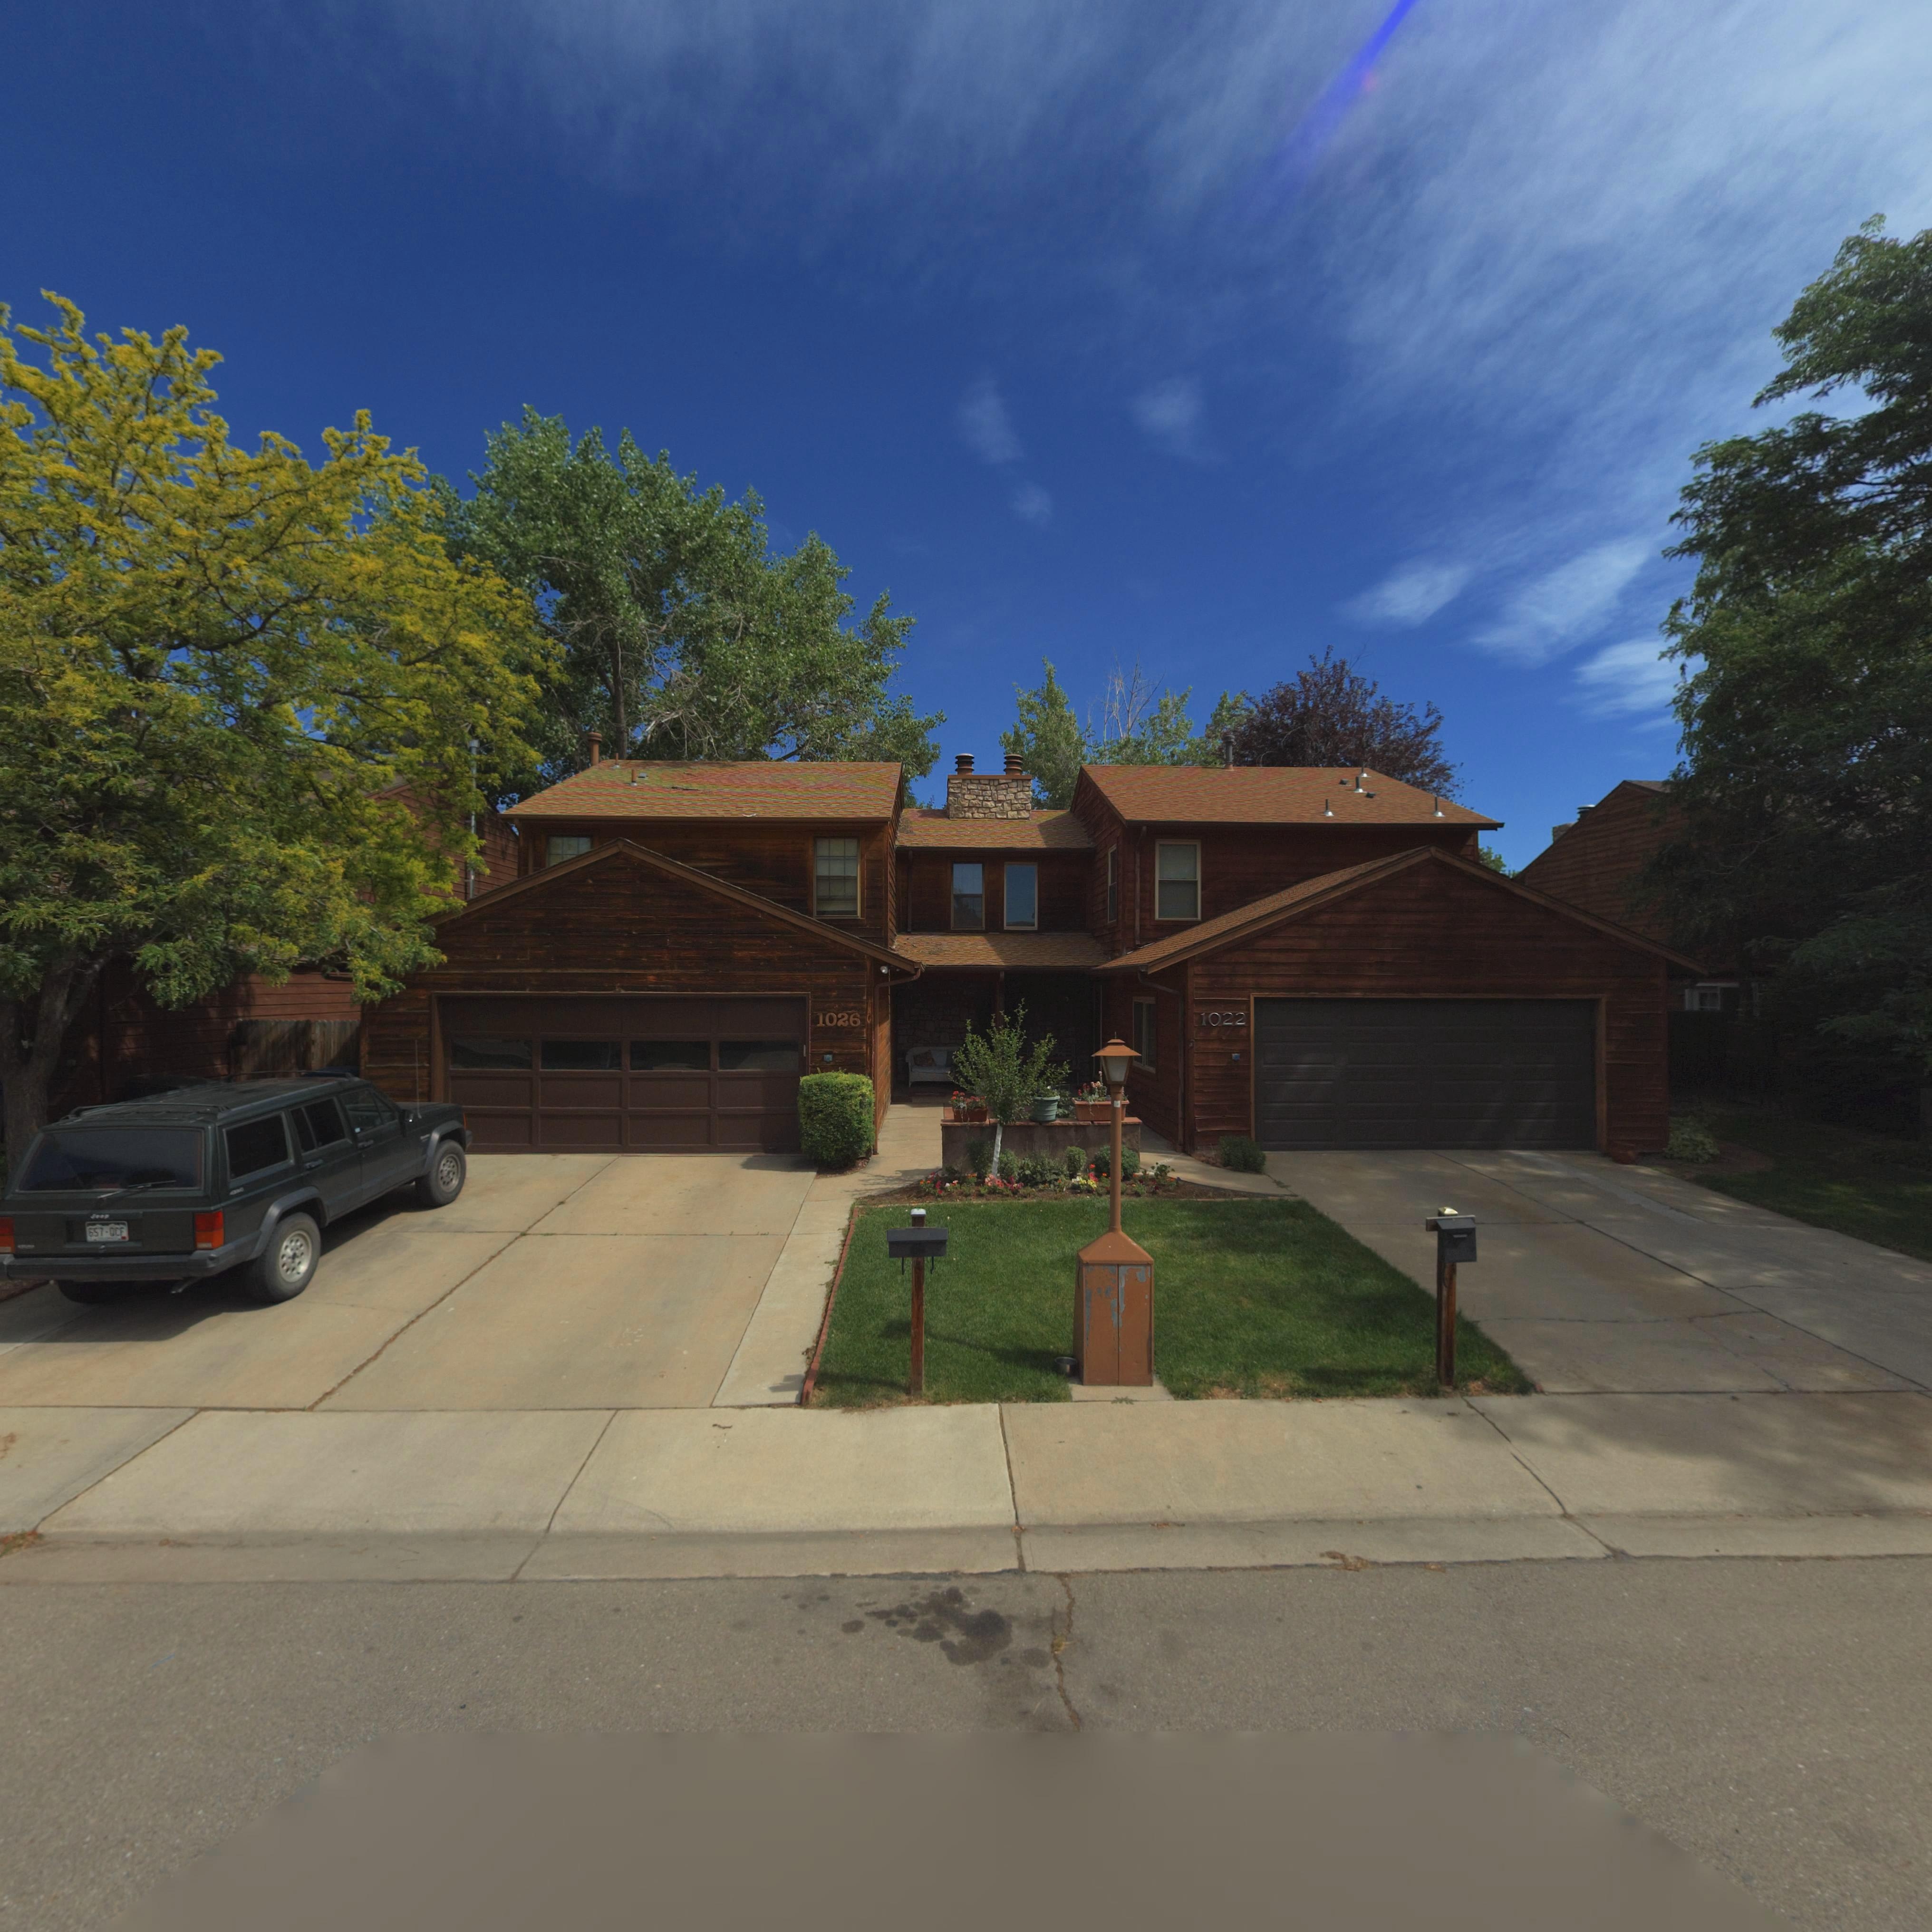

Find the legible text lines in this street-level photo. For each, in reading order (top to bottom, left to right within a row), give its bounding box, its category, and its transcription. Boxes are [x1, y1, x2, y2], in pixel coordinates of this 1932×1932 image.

[816, 1012, 860, 1027] StreetNumber: 1026
[1200, 1012, 1246, 1026] StreetNumber: 1022